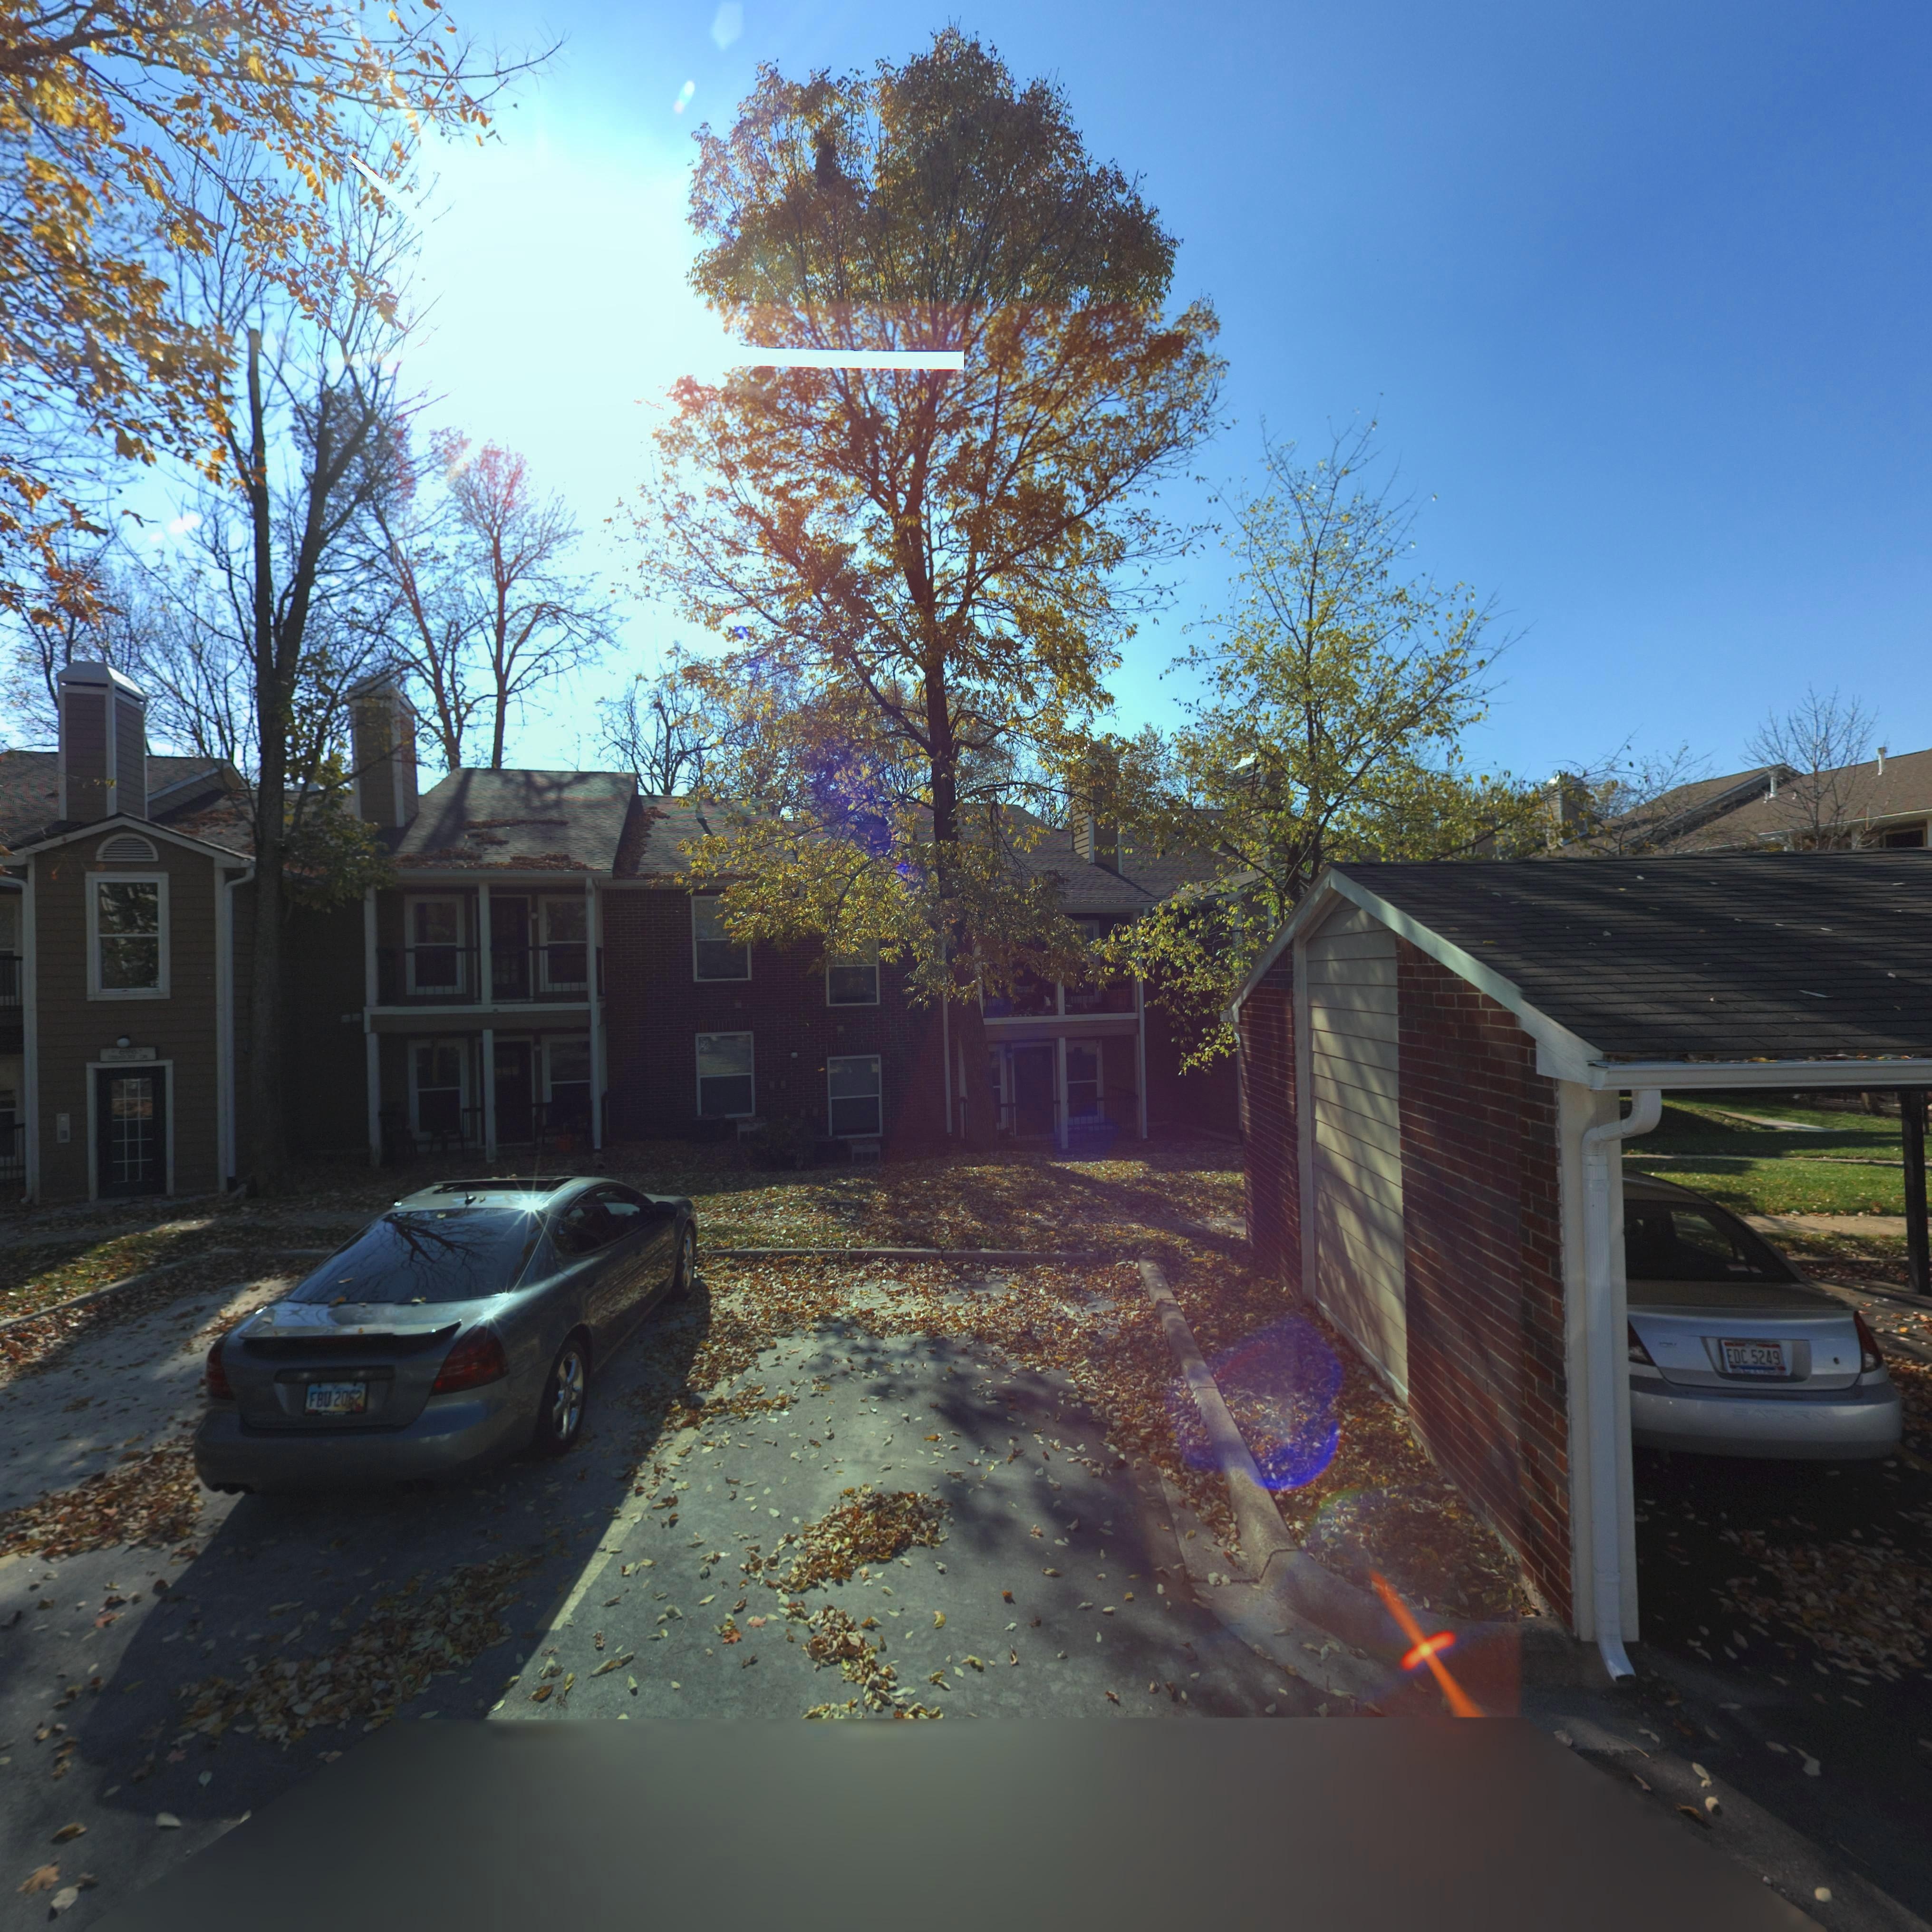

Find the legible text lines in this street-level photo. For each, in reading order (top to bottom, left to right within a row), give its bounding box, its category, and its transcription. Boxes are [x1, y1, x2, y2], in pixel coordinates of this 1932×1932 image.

[118, 1046, 139, 1056] StreetNumber: 6**
[1724, 1347, 1782, 1367] None: EDC 5249
[308, 1388, 364, 1410] None: FBU 2062